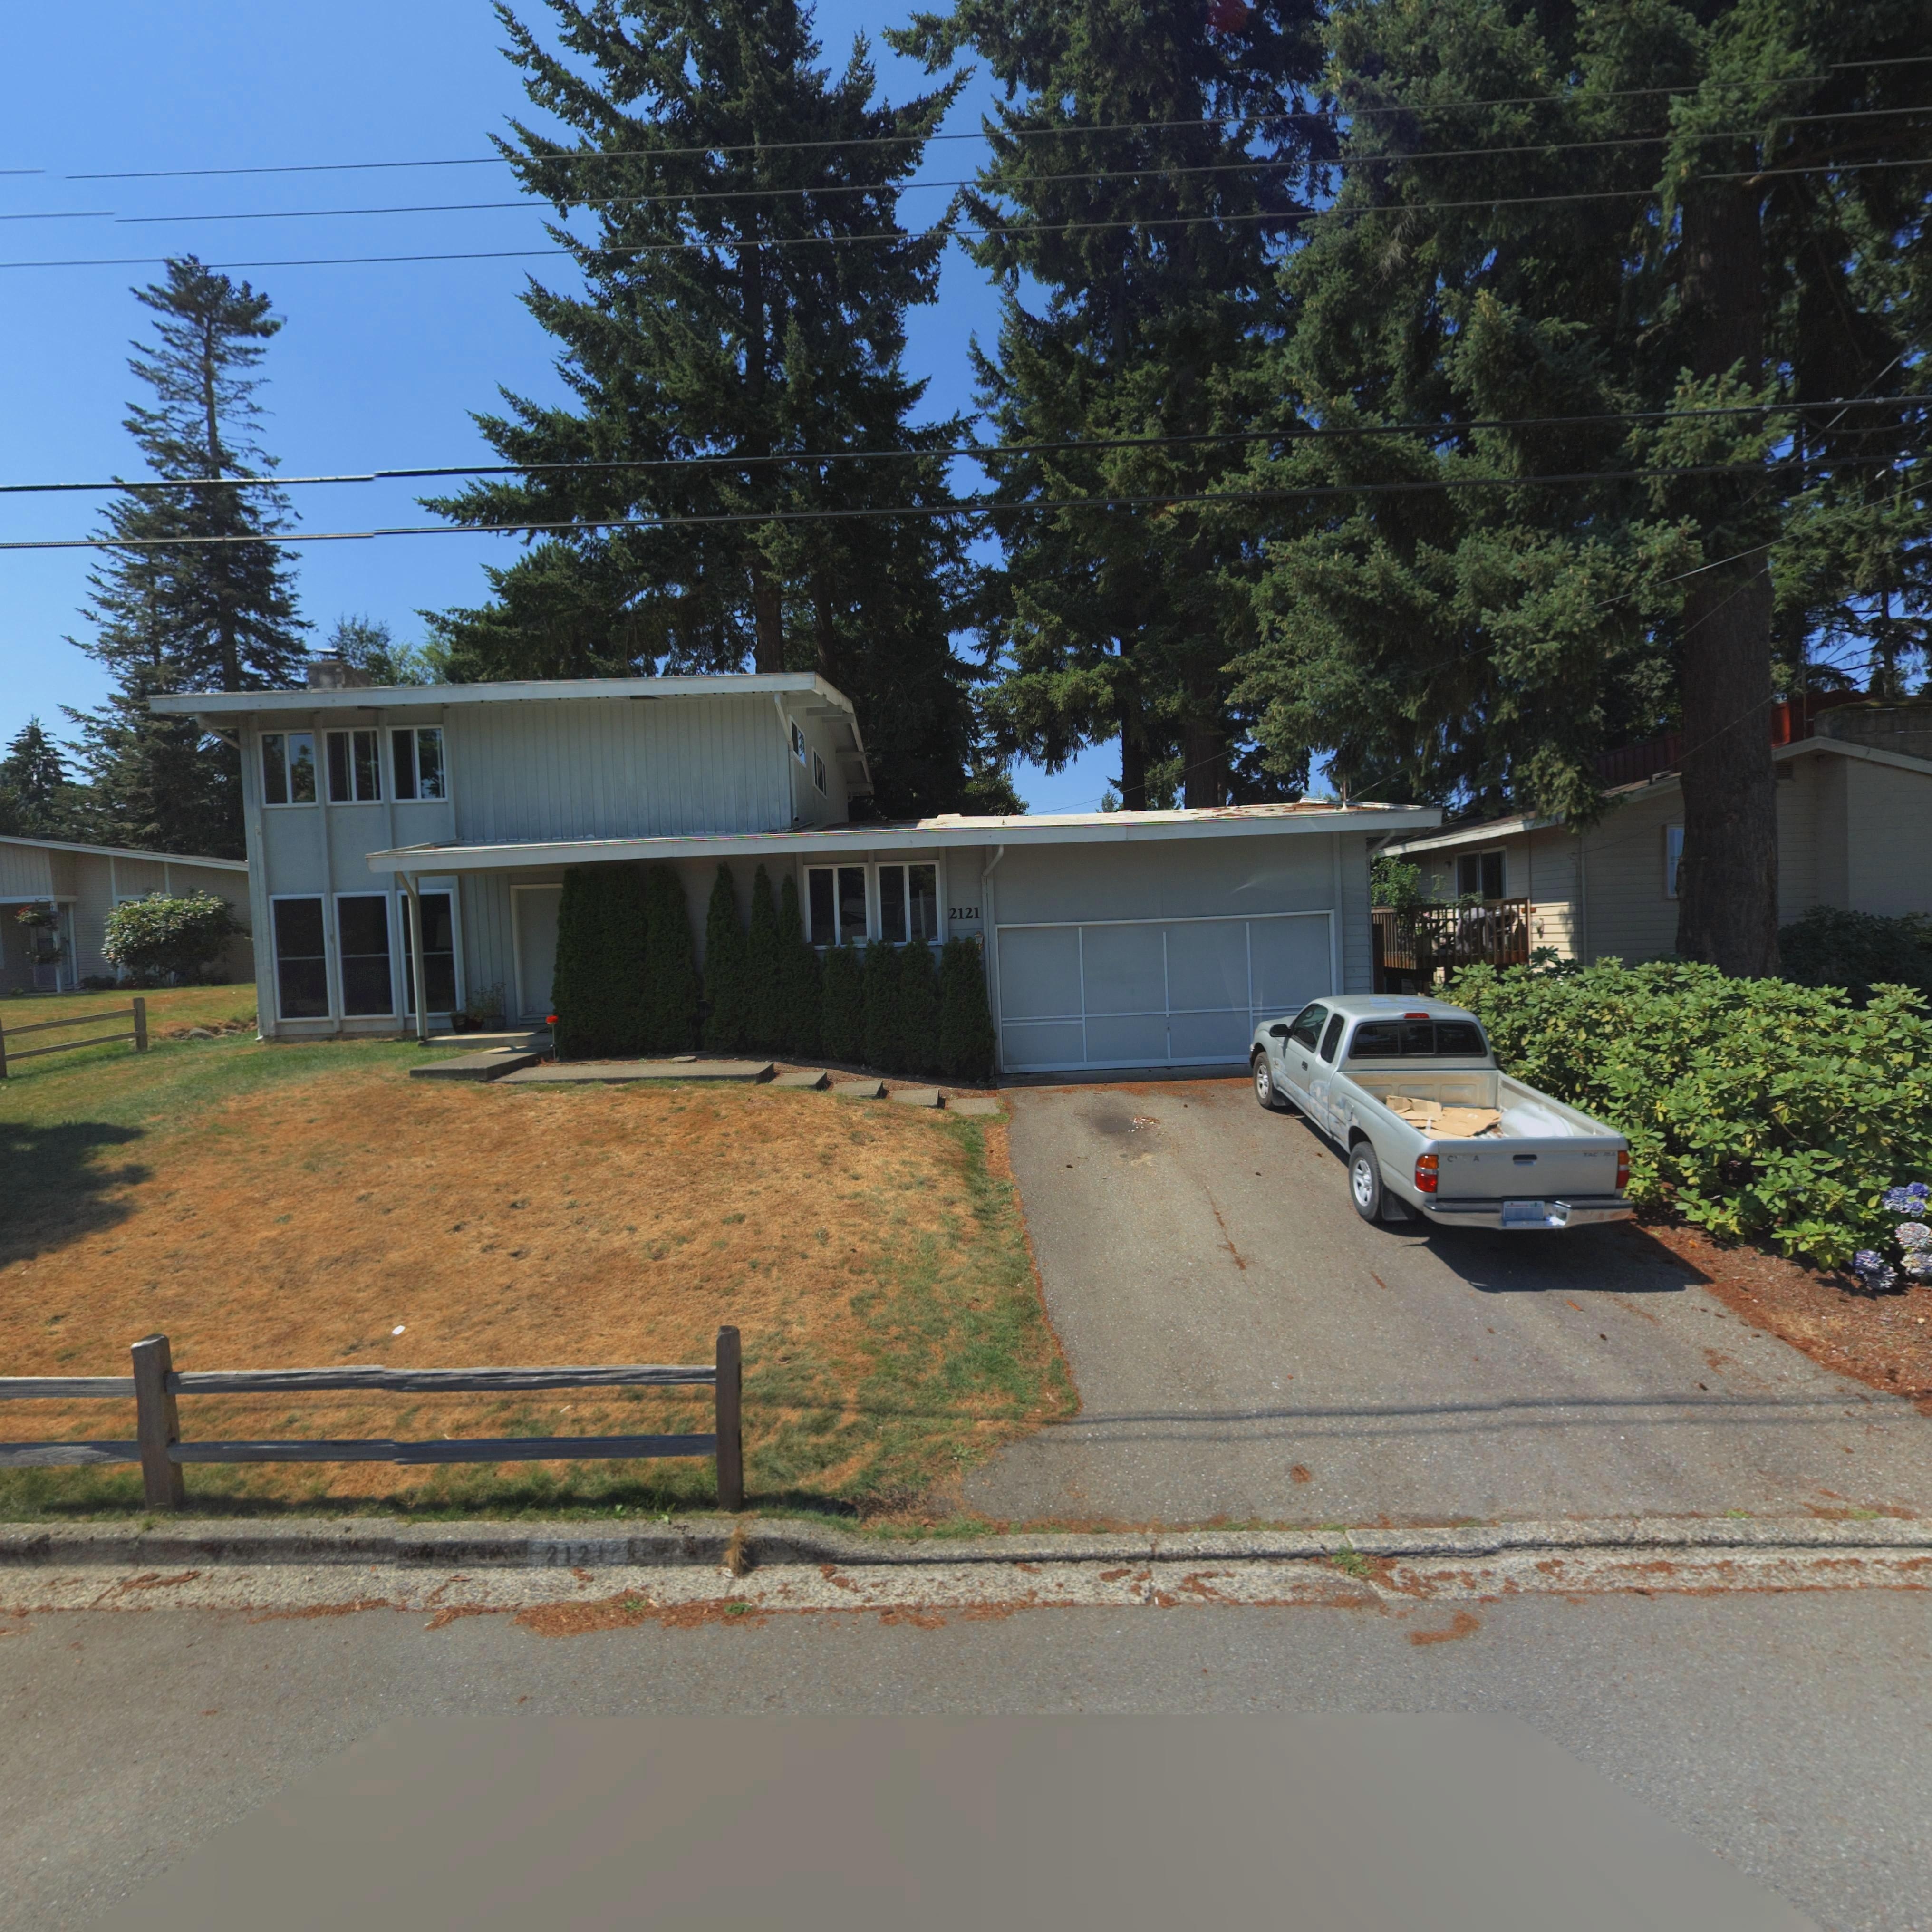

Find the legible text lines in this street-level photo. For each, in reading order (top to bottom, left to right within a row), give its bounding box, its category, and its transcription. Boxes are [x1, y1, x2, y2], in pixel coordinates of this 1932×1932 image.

[949, 908, 979, 919] StreetNumber: 2121